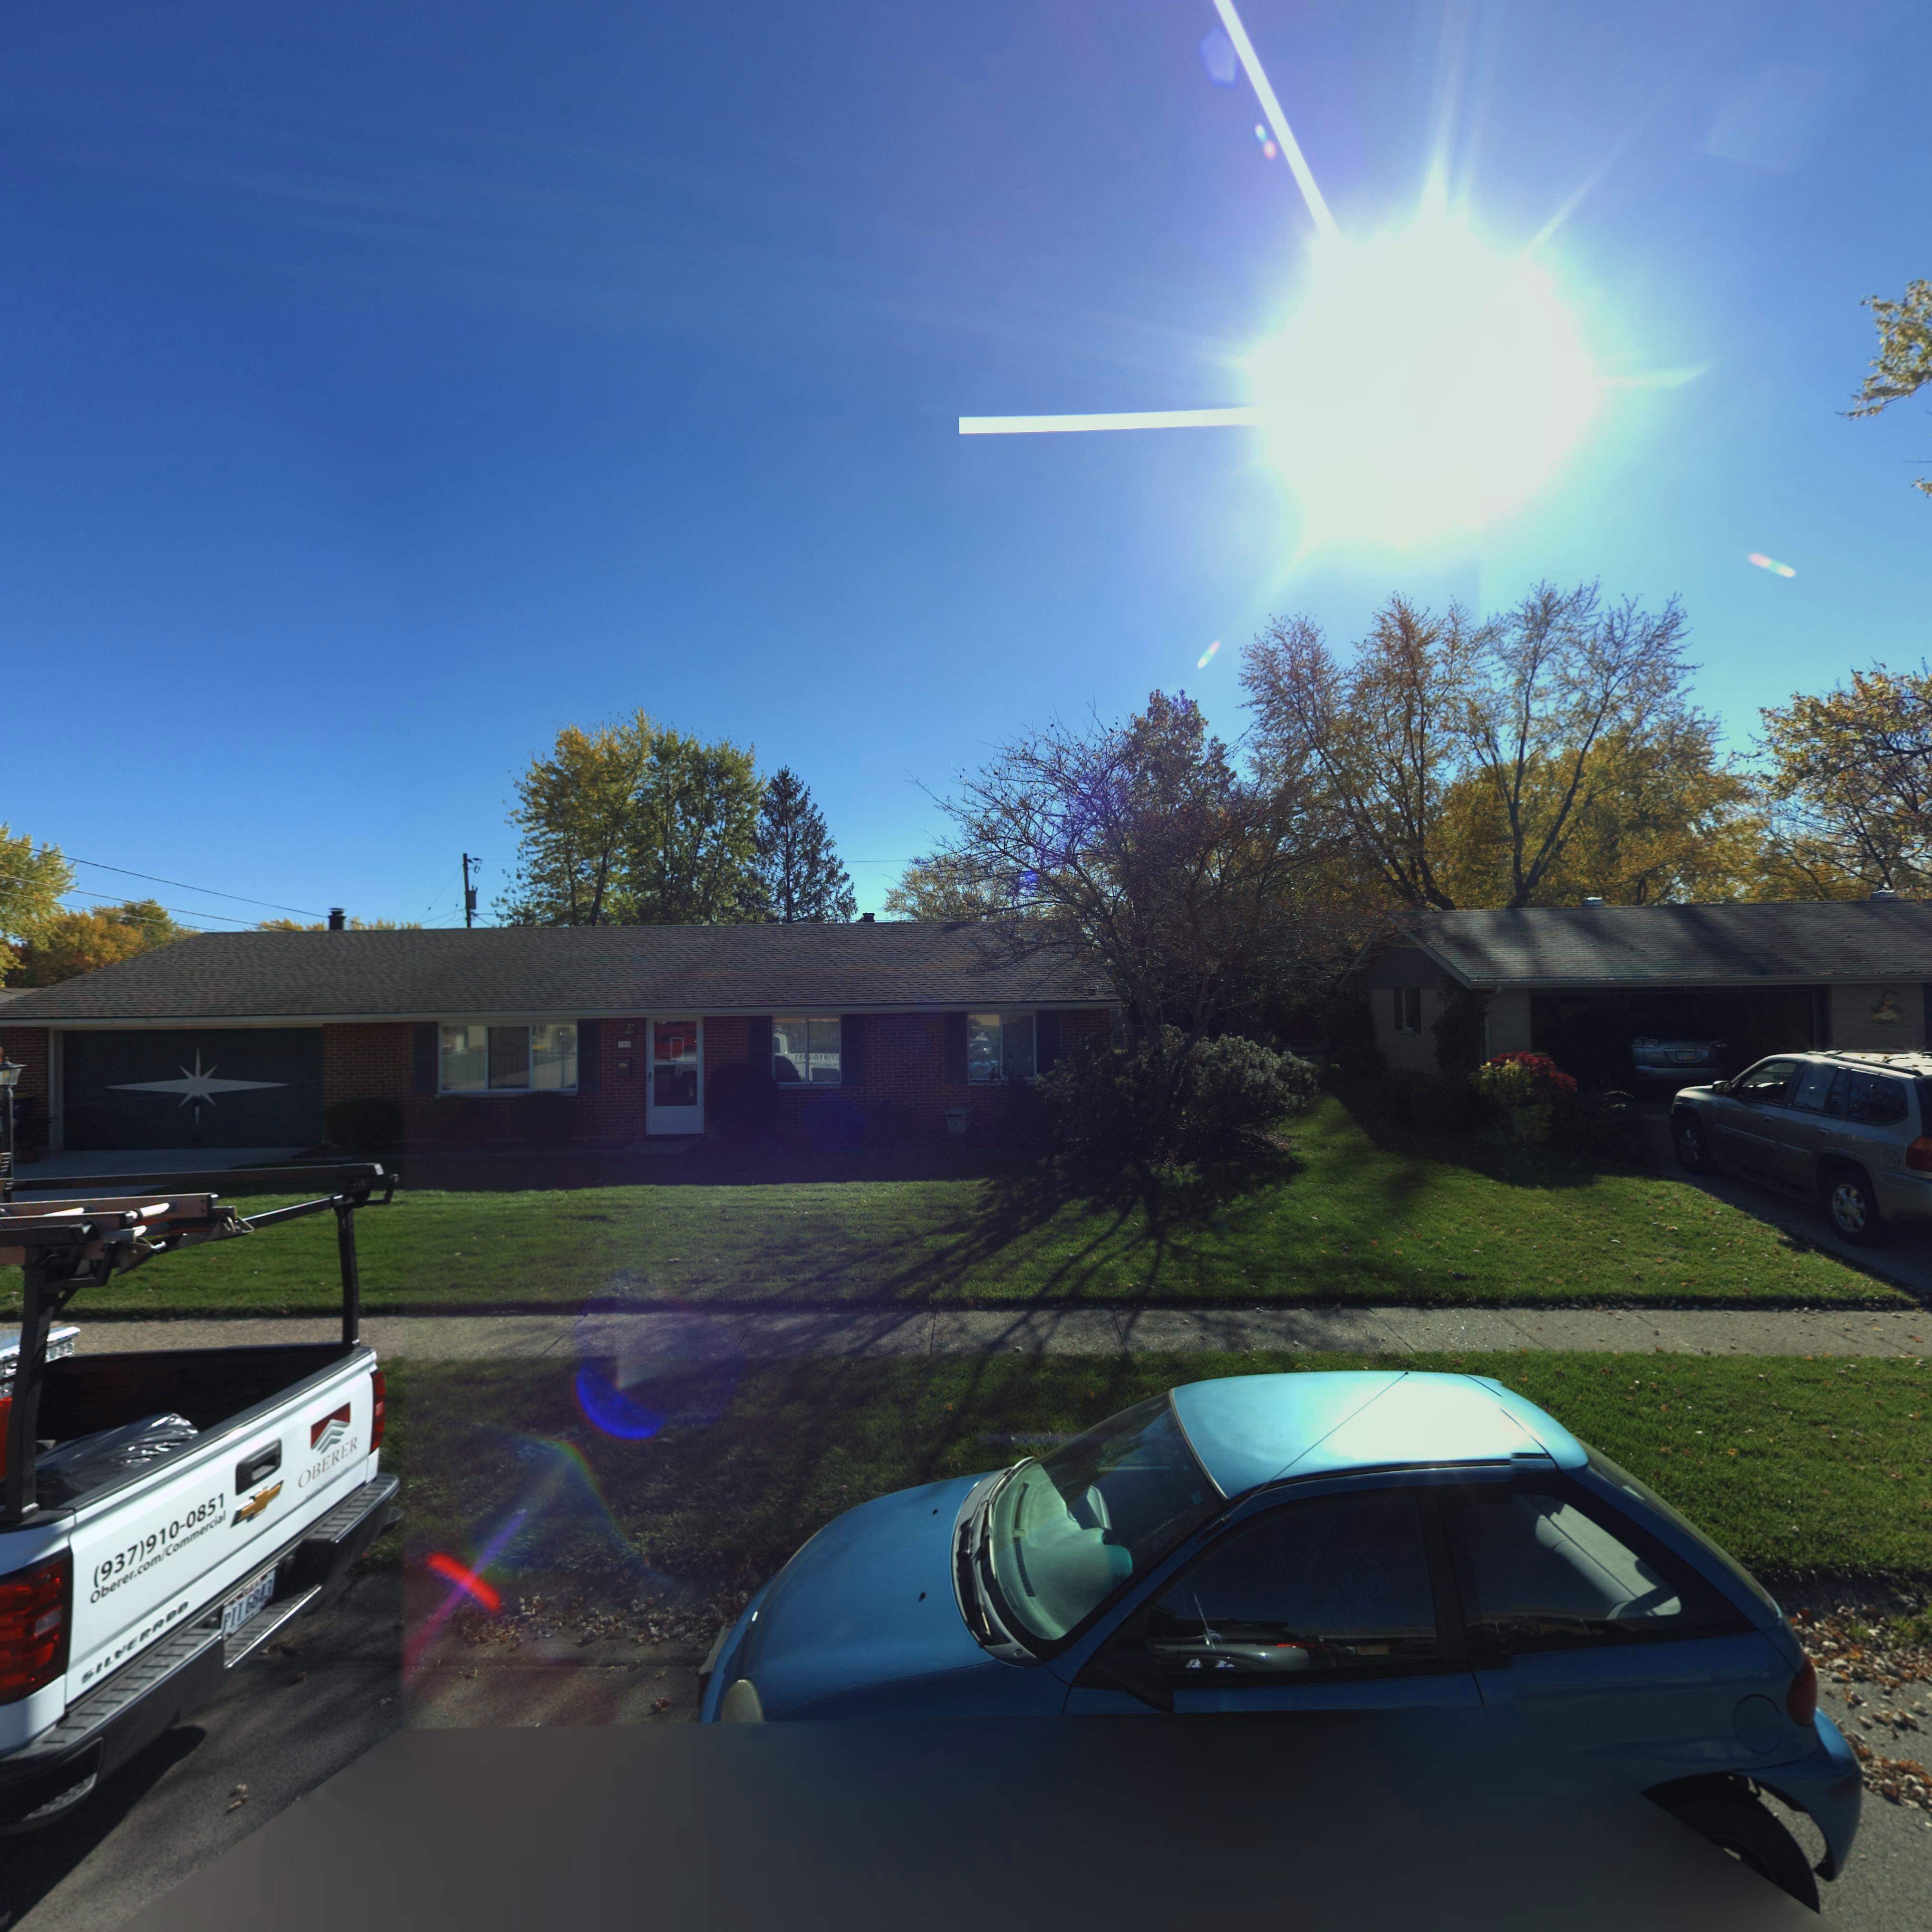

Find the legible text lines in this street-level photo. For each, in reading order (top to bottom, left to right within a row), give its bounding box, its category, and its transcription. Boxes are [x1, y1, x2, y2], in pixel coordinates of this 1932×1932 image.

[618, 1041, 631, 1047] StreetNumber: 4**6
[296, 1434, 358, 1491] None: OBERER
[88, 1507, 227, 1607] None: Oberer.com/Commercial
[93, 1489, 225, 1591] None: (937)910-0851
[79, 1597, 190, 1688] None: SILVERADO
[222, 1575, 273, 1636] None: PIT*6643